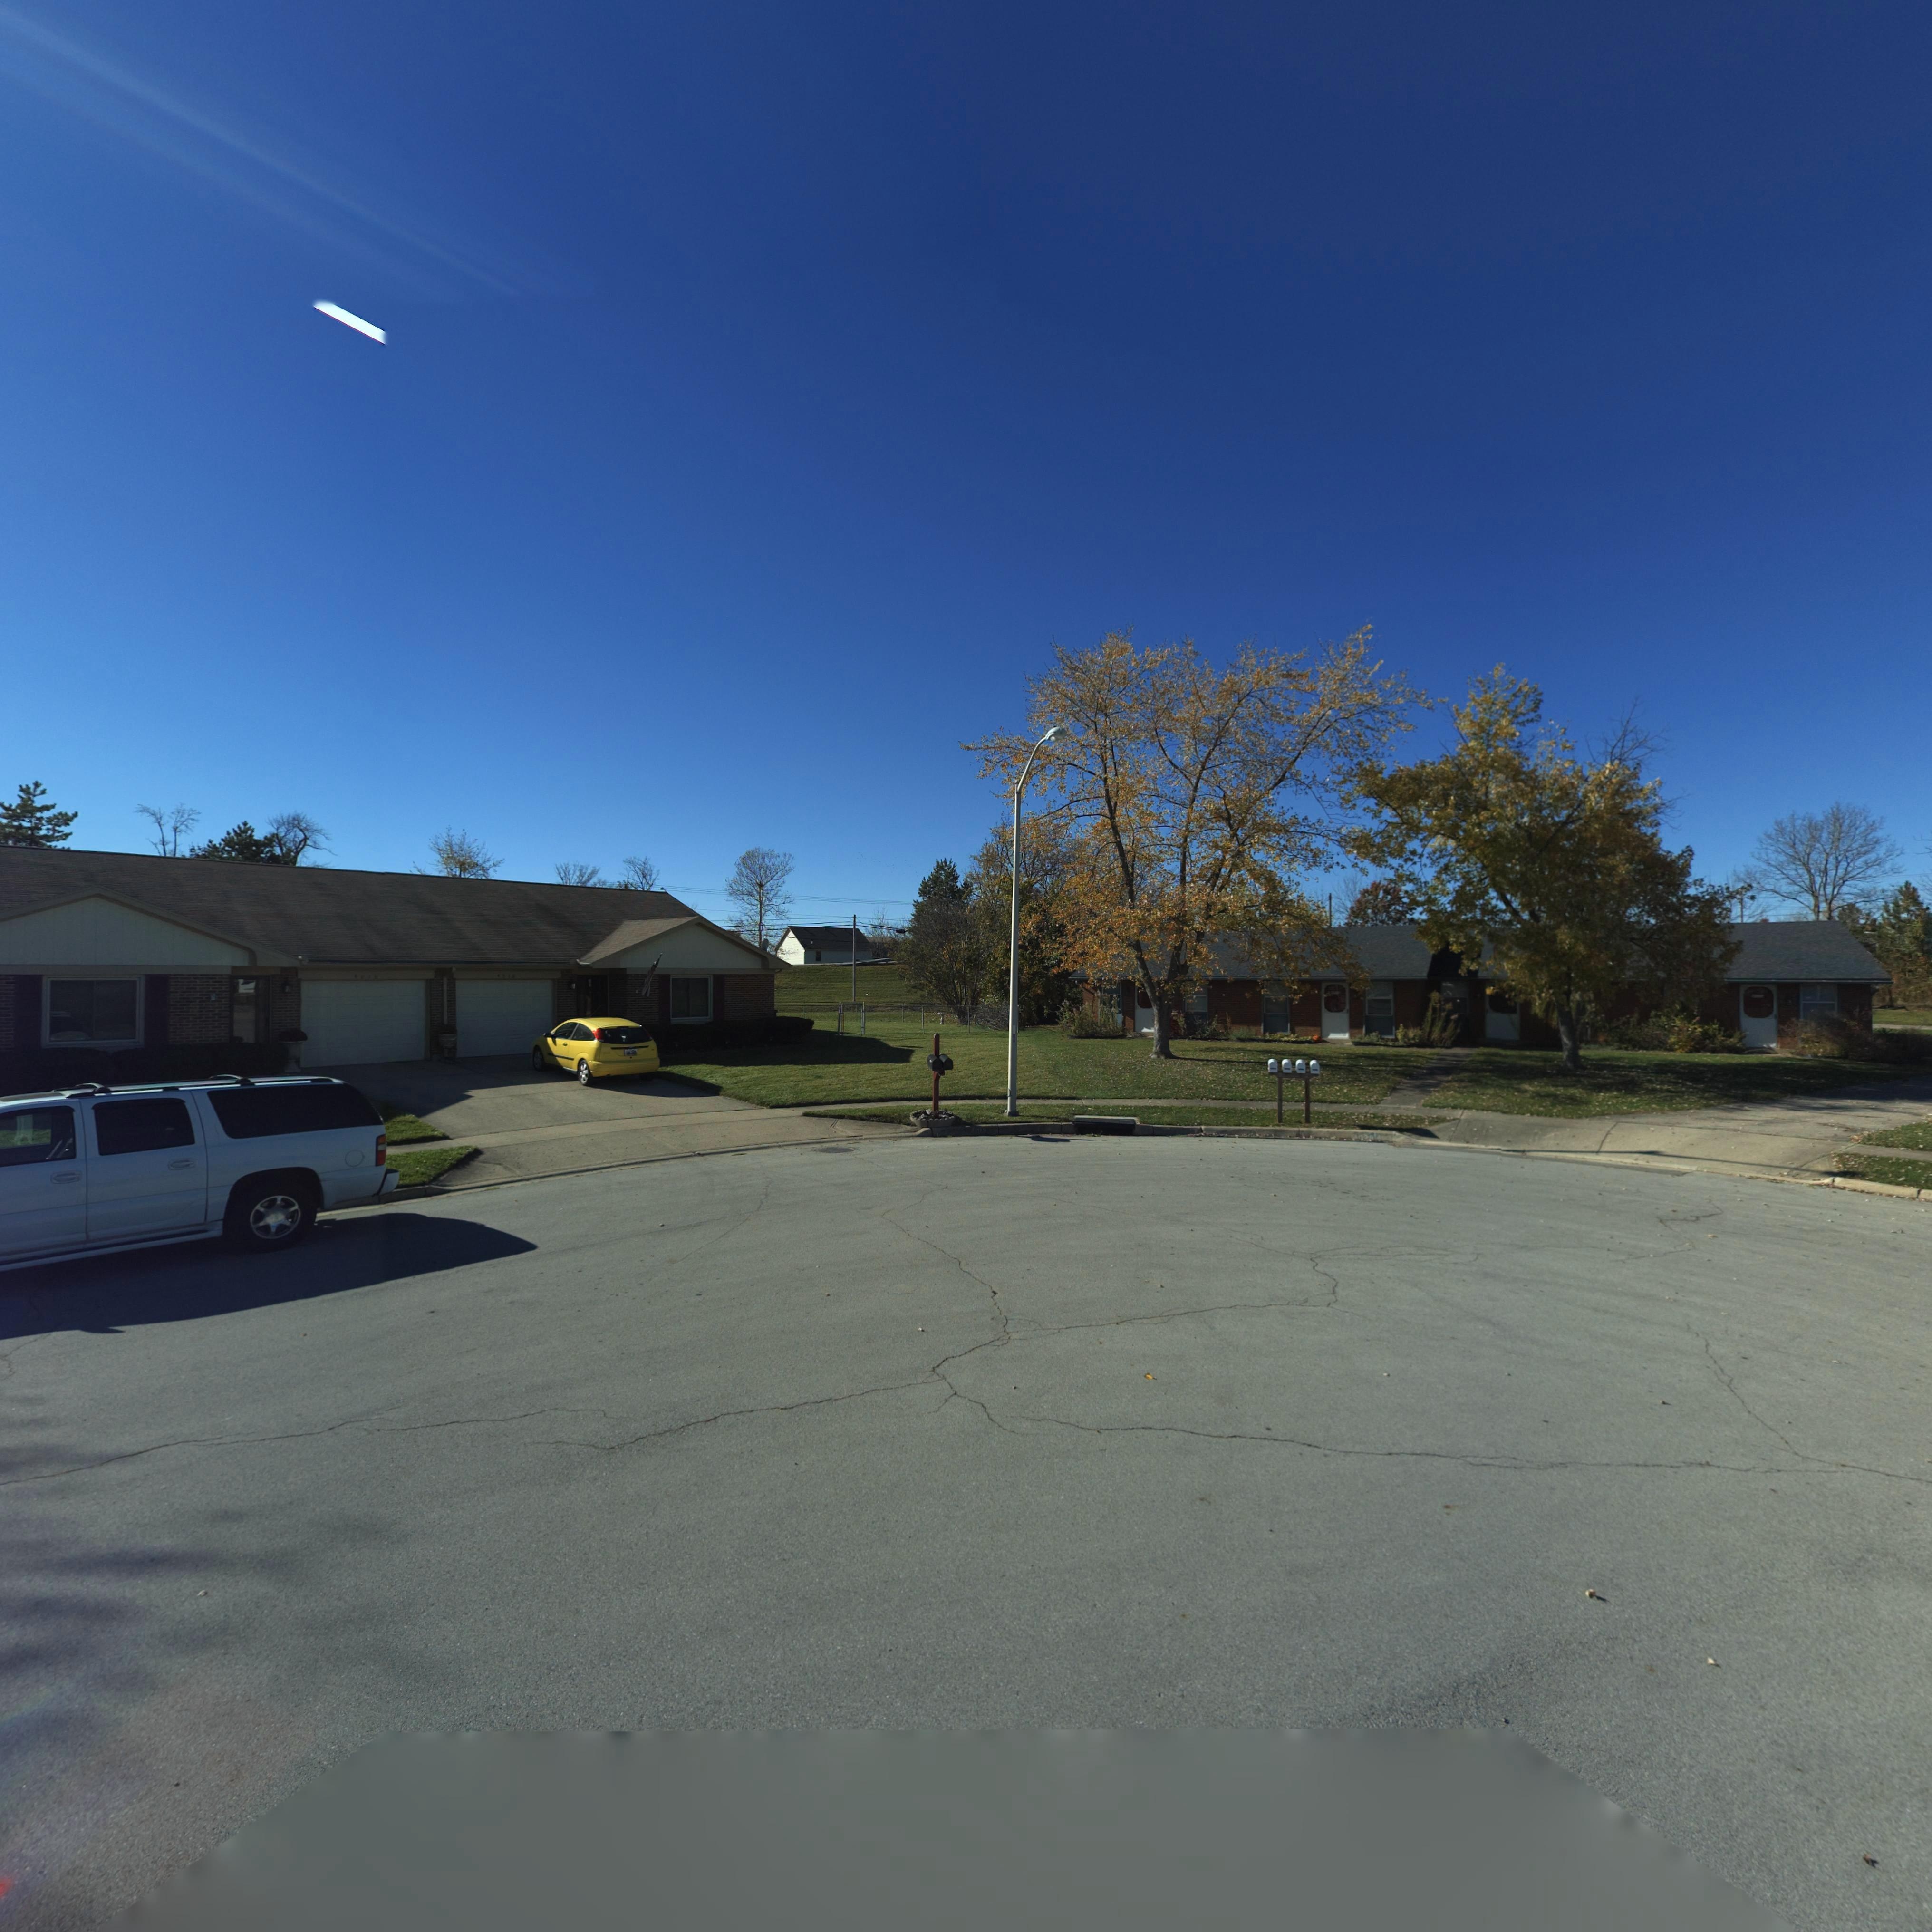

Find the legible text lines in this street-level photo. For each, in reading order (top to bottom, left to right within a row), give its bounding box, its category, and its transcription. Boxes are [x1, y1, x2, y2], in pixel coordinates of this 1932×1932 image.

[351, 973, 378, 980] StreetNumber: 4016
[496, 973, 515, 978] StreetNumber: 401*